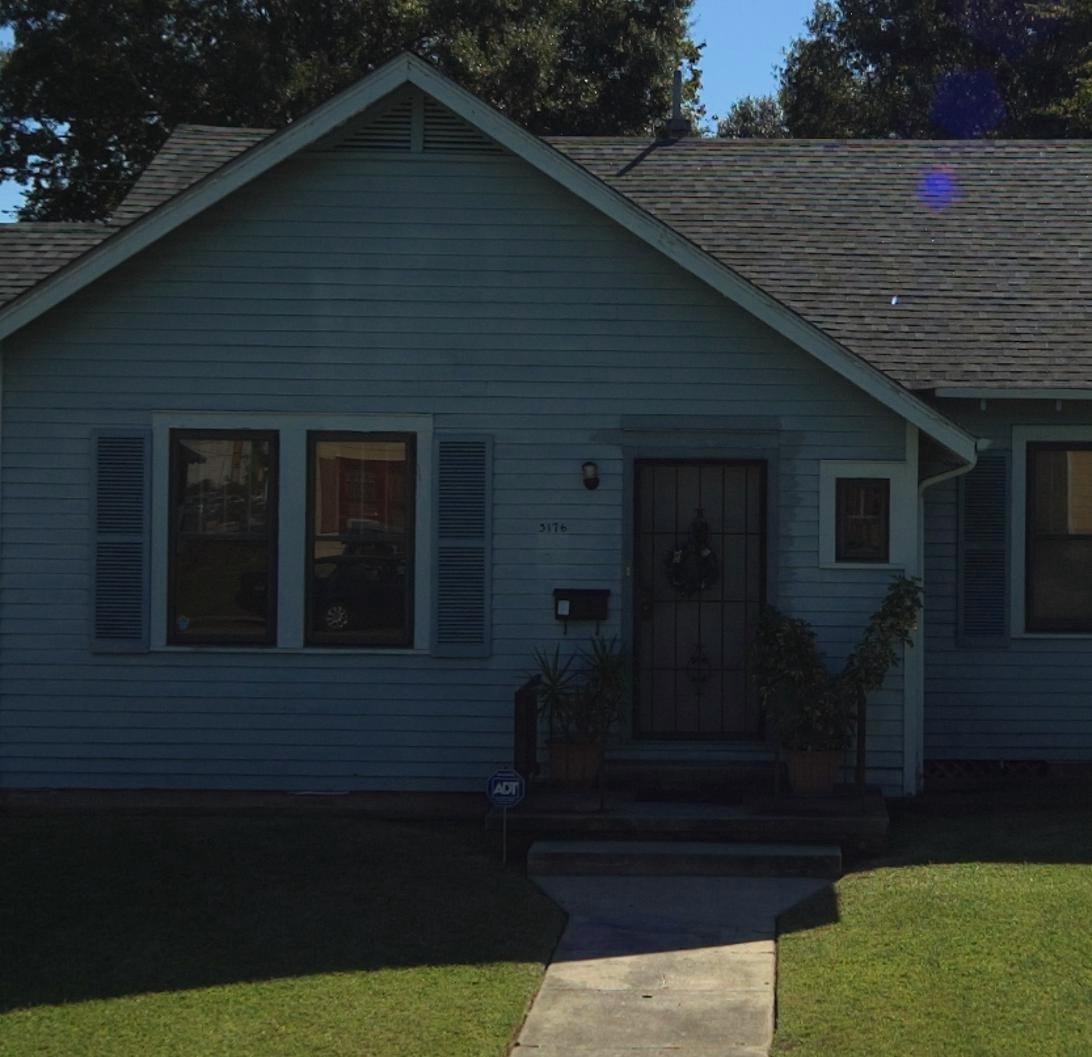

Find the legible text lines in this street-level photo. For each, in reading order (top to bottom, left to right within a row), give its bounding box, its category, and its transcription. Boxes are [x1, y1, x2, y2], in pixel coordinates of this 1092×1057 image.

[538, 521, 568, 534] StreetNumber: 3176
[490, 780, 519, 796] None: ADT